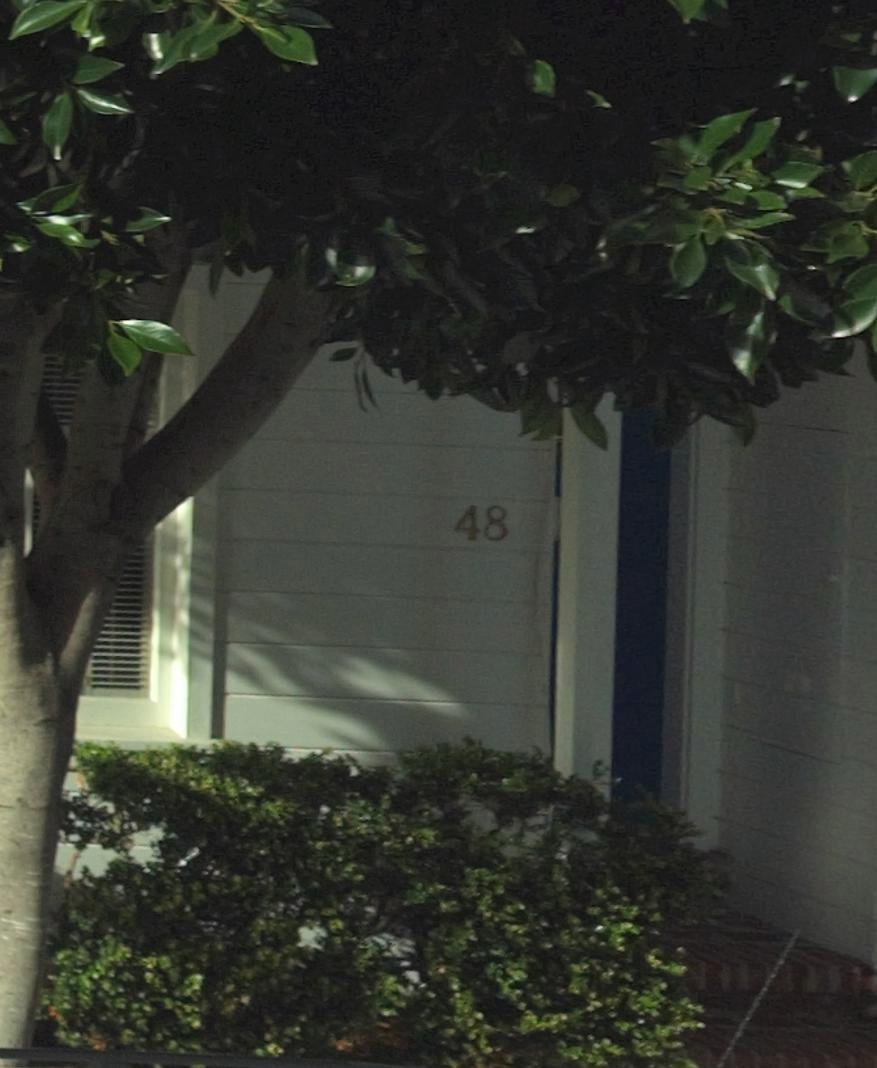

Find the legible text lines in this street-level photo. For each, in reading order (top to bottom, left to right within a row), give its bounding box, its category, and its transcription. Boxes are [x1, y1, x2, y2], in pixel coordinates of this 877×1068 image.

[450, 501, 512, 544] StreetNumber: 48